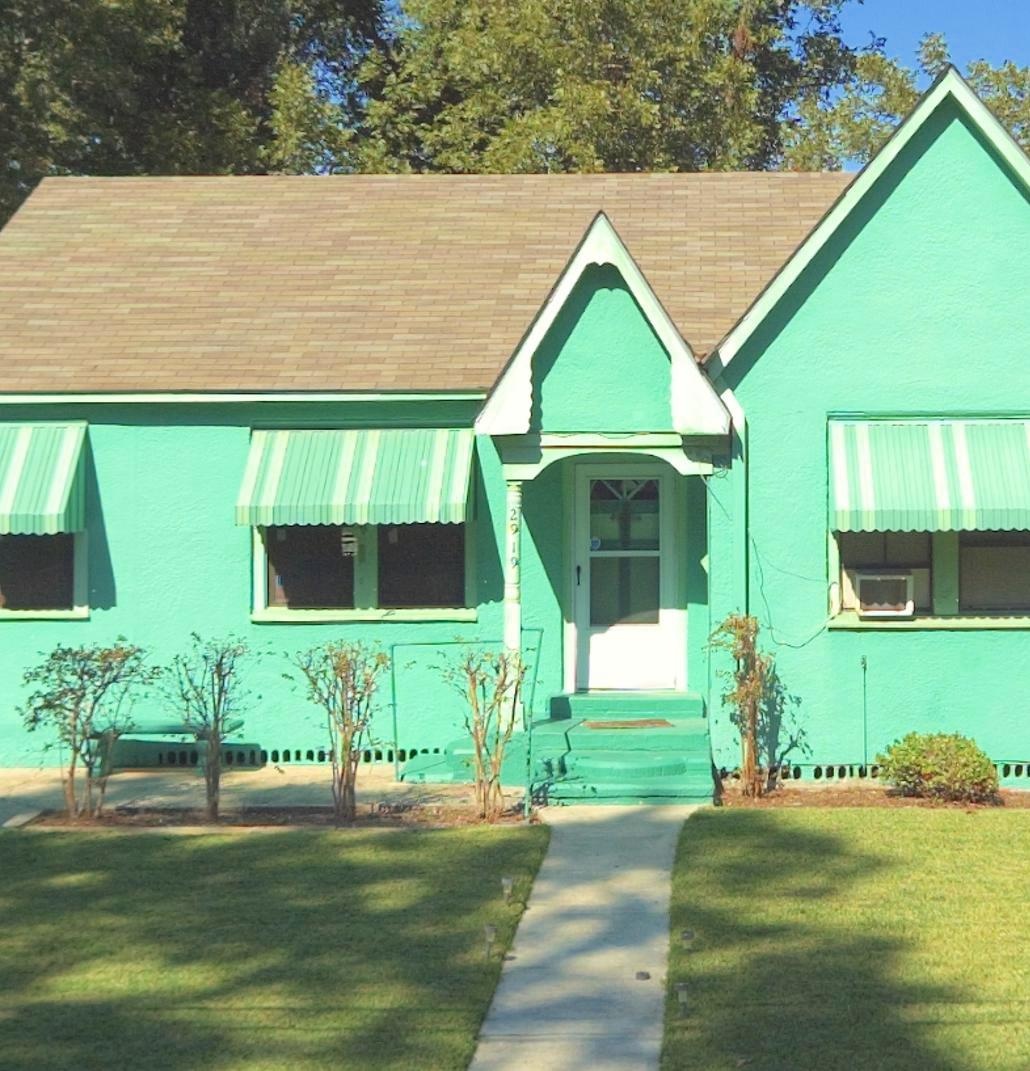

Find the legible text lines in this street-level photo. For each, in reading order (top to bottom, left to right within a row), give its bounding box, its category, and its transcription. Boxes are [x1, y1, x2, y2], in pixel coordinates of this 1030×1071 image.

[509, 507, 520, 571] StreetNumber: 2919